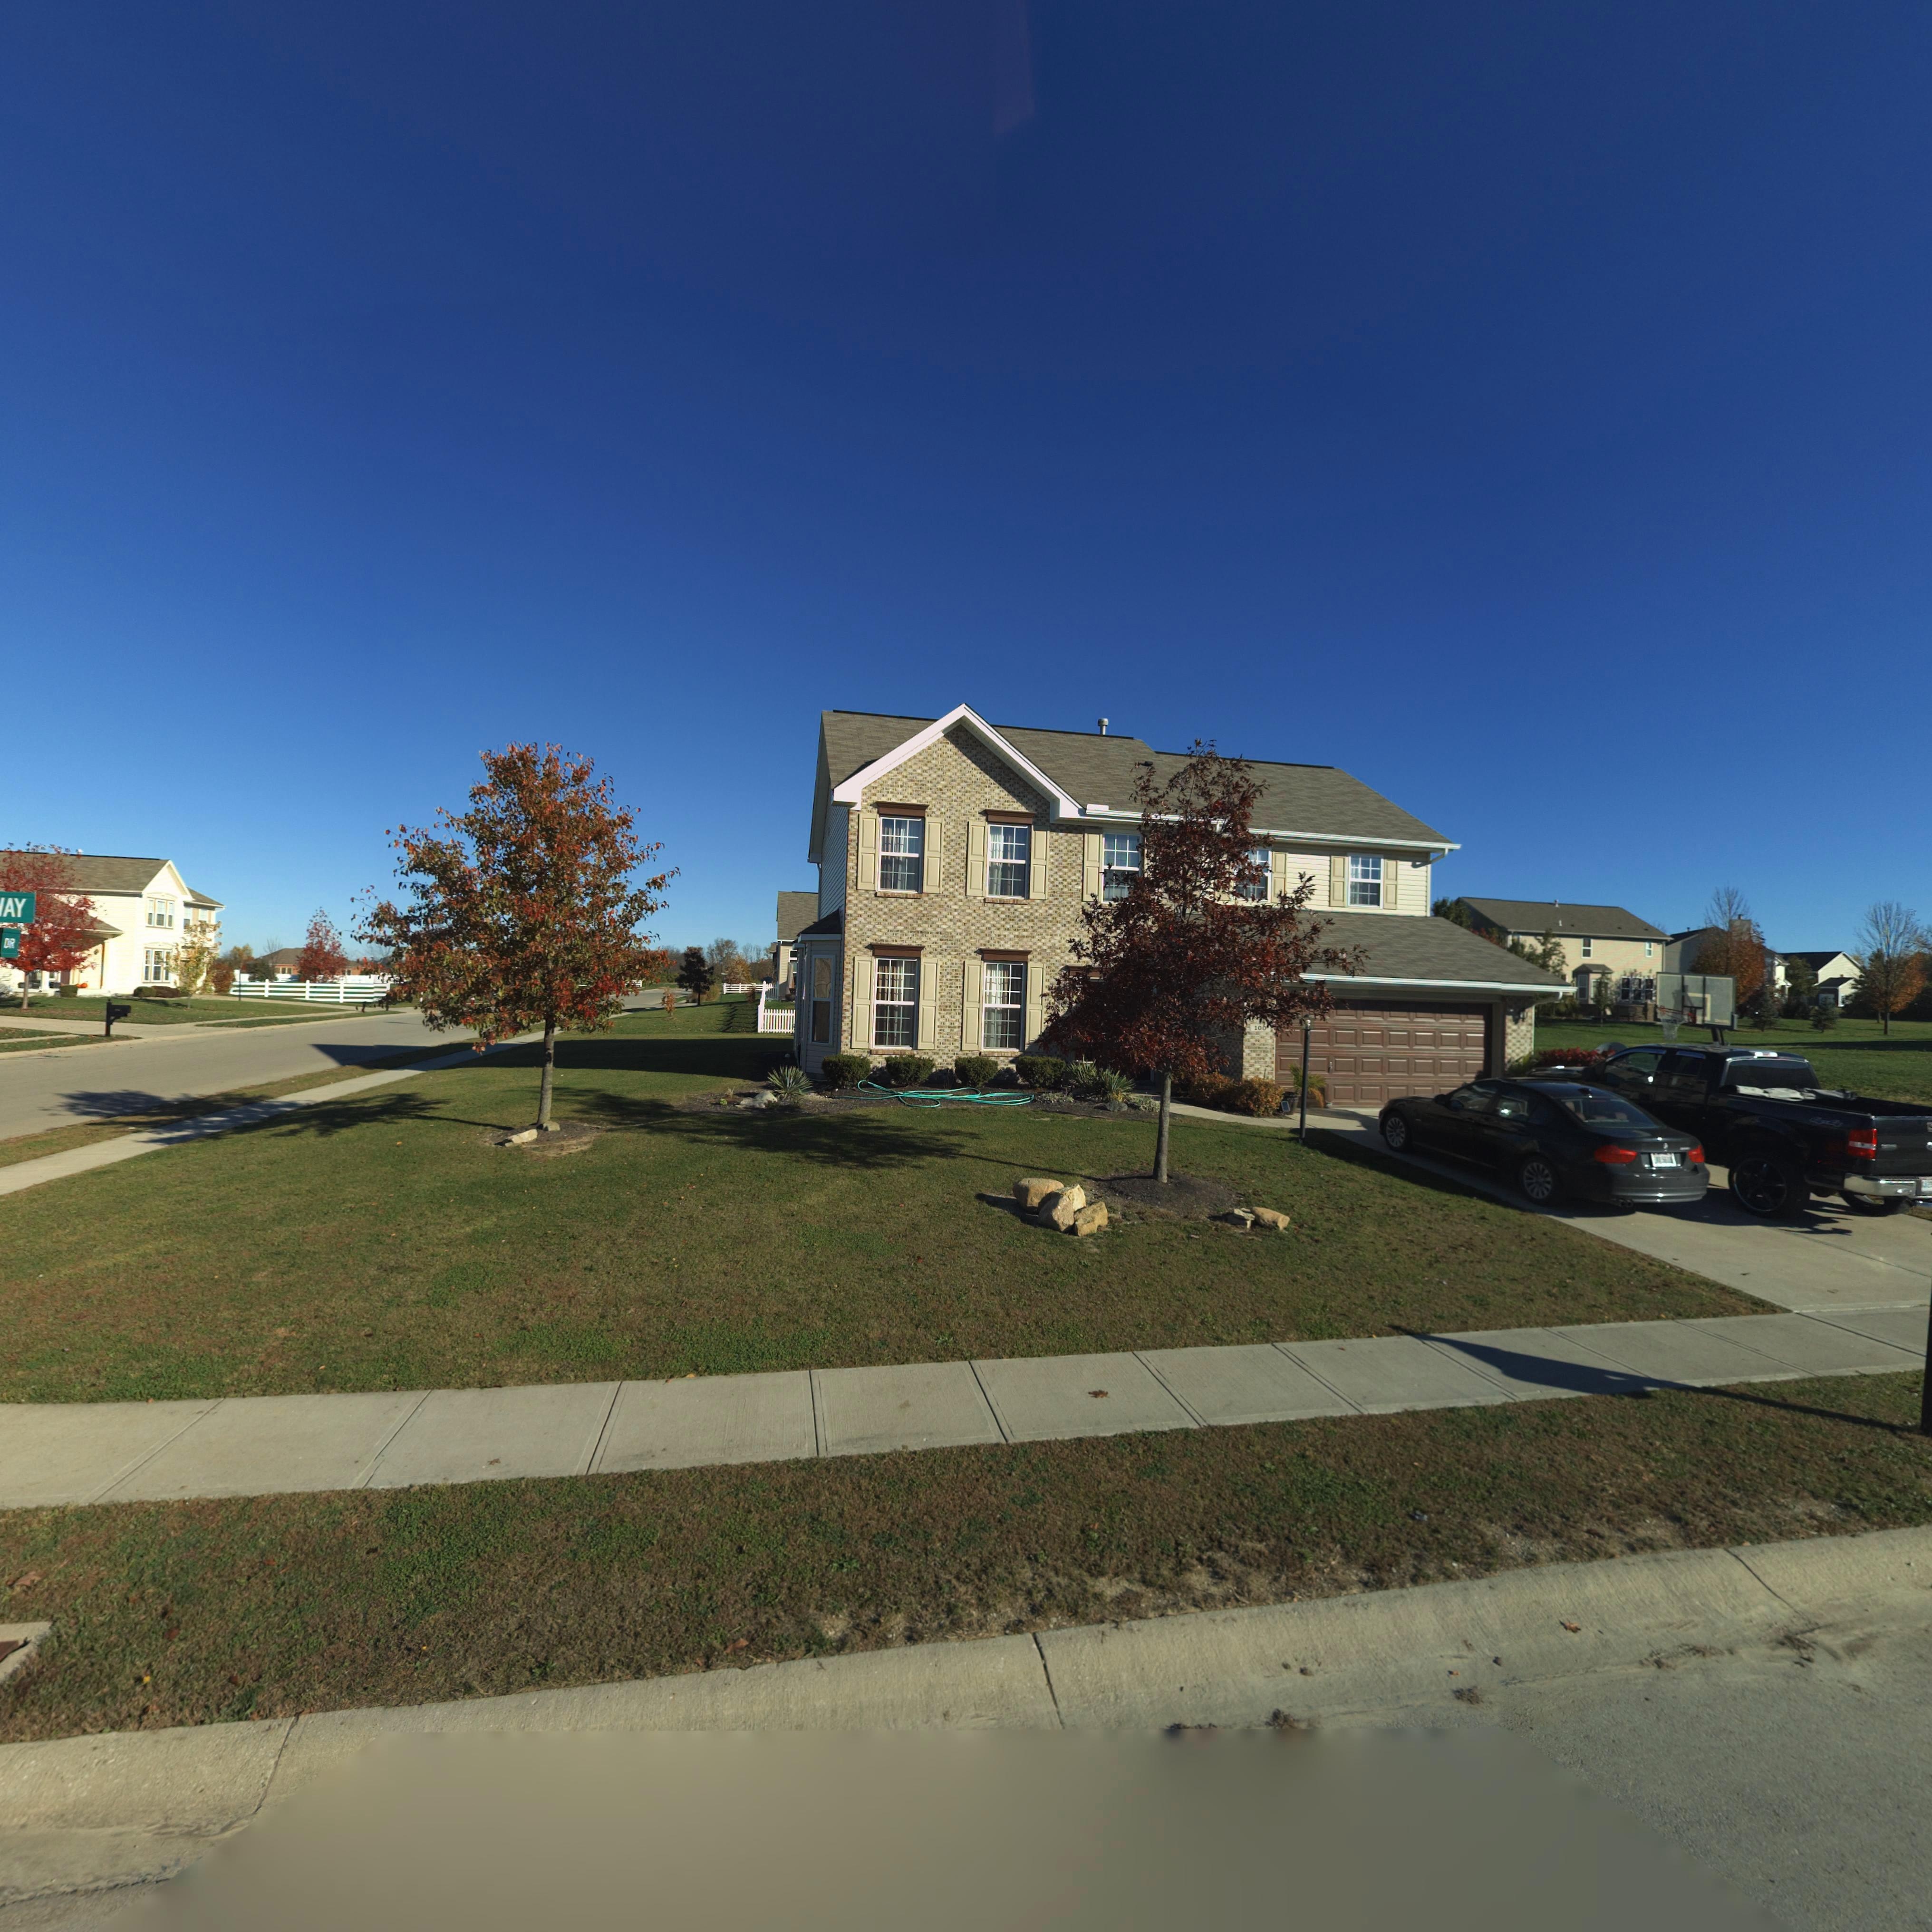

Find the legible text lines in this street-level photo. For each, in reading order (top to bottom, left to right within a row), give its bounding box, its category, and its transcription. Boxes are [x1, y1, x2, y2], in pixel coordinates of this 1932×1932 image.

[1254, 1024, 1267, 1031] StreetNumber: 100